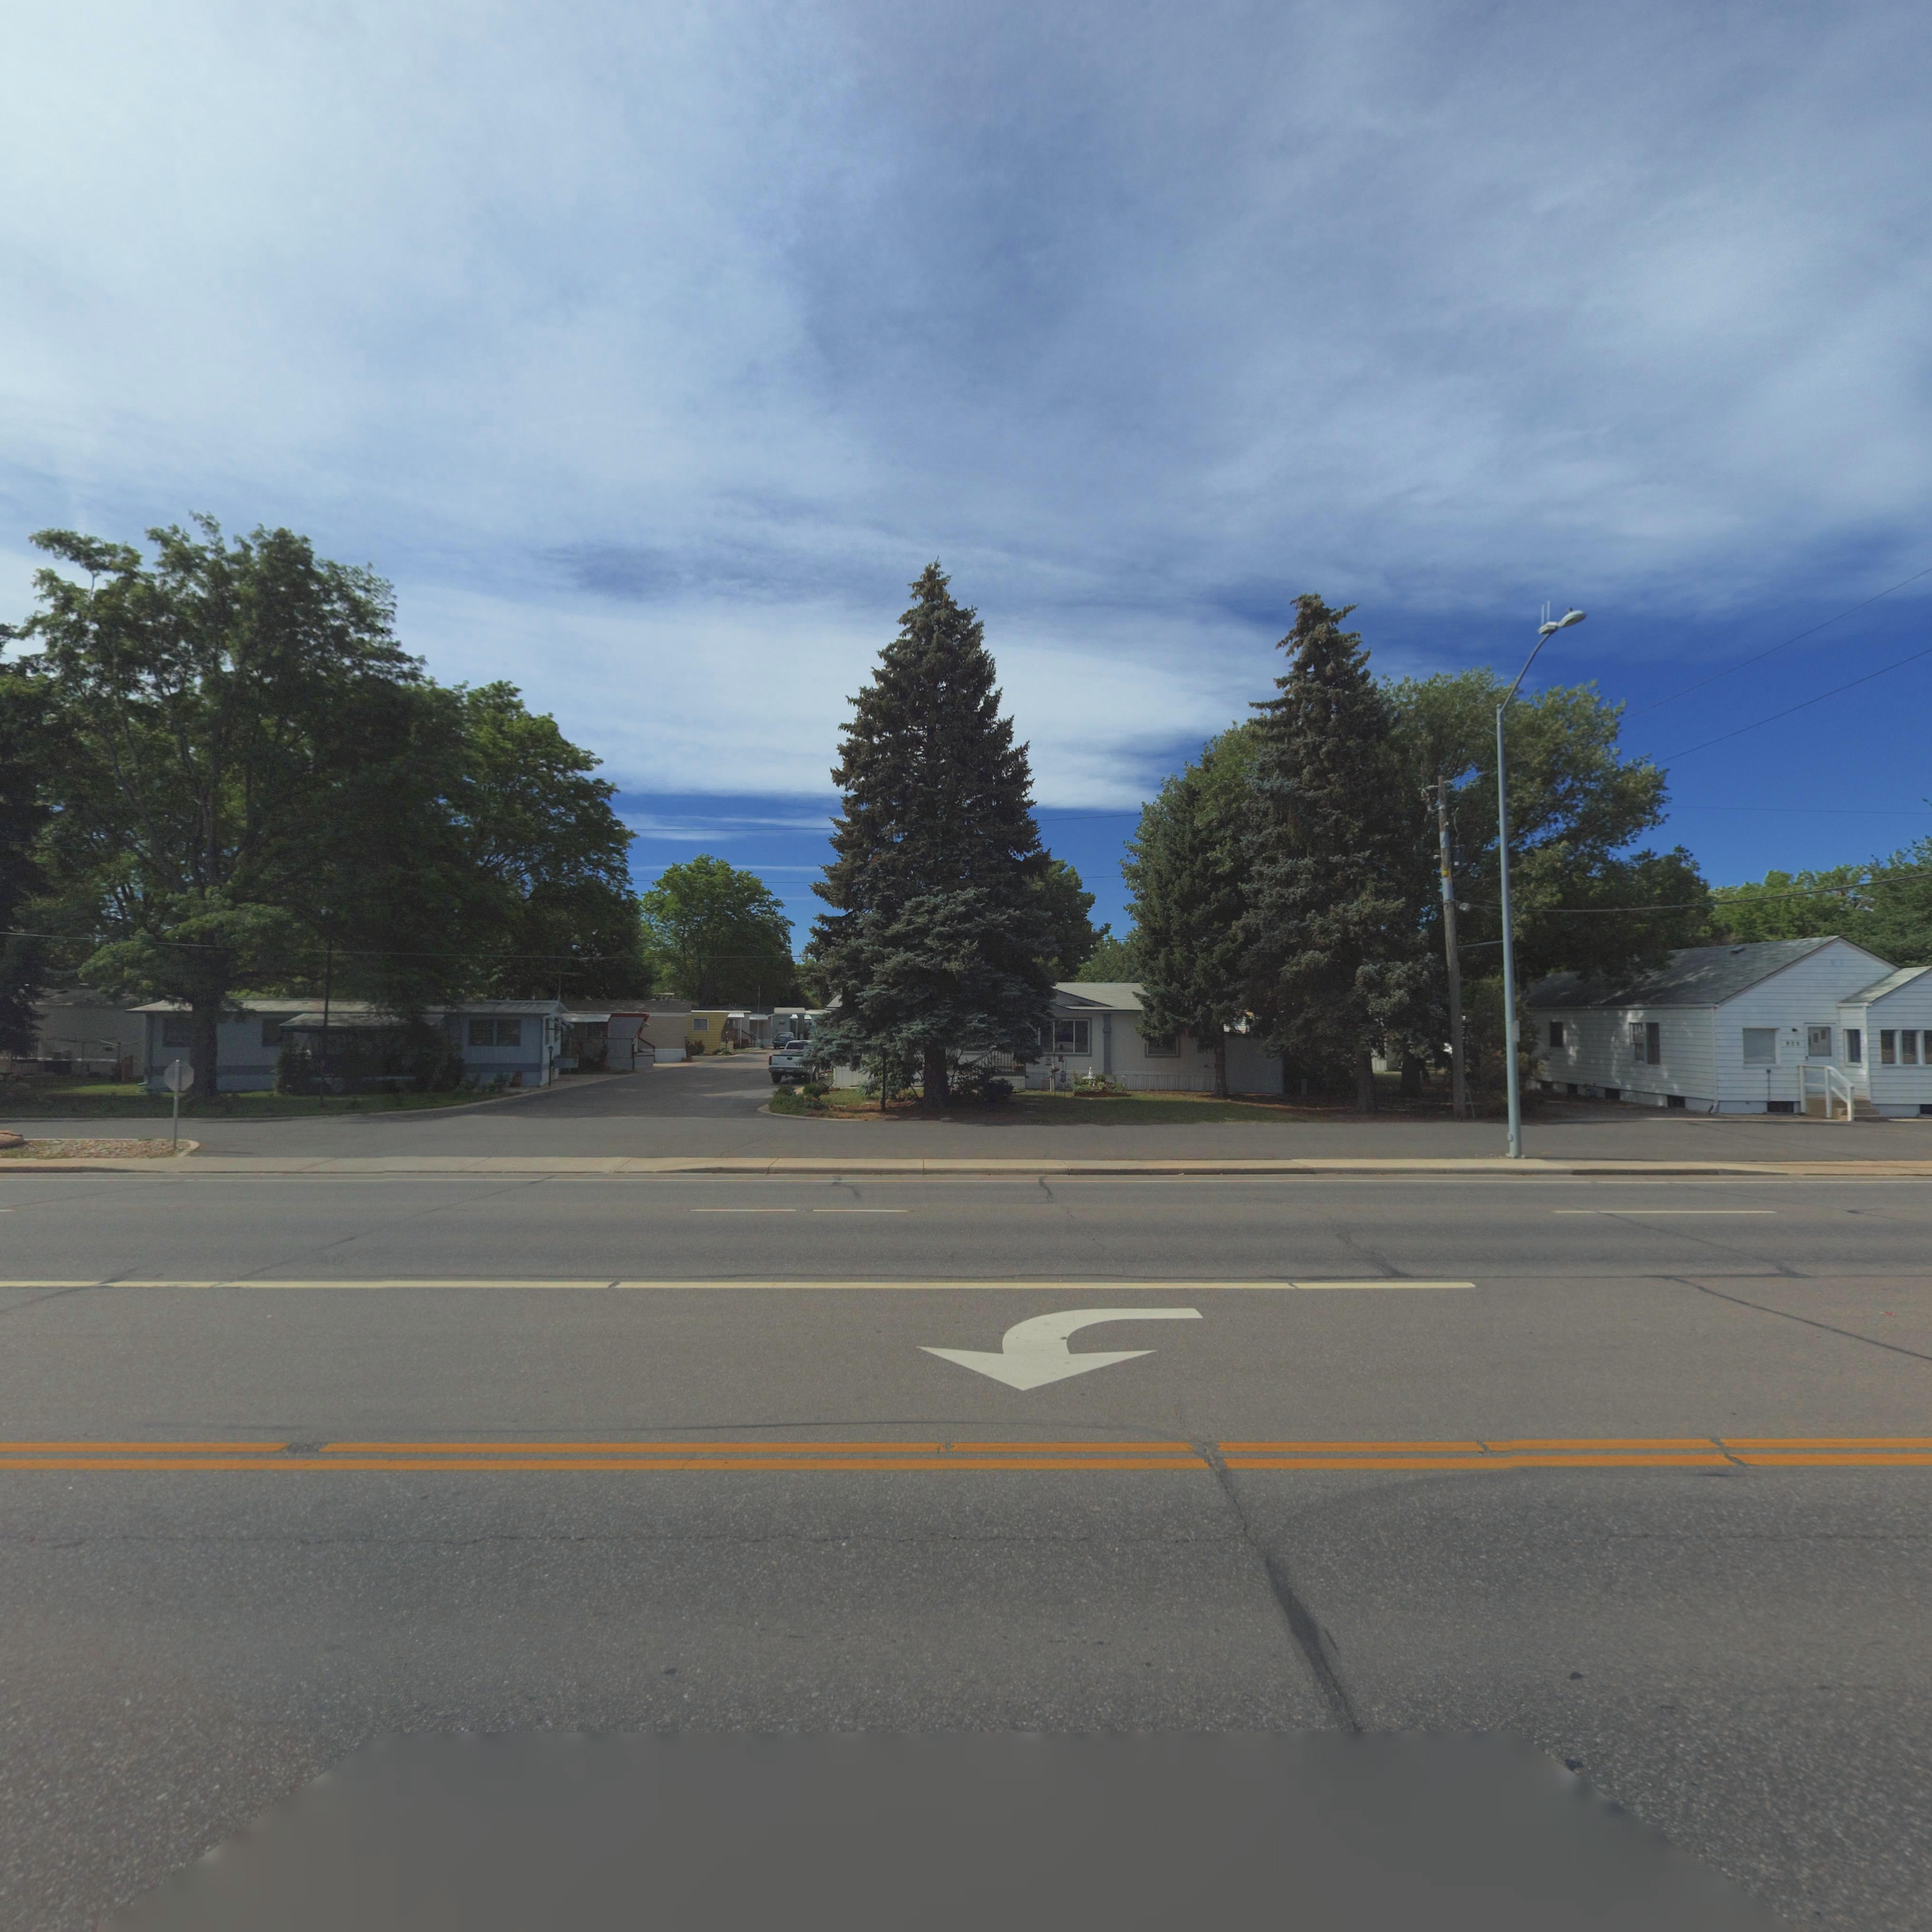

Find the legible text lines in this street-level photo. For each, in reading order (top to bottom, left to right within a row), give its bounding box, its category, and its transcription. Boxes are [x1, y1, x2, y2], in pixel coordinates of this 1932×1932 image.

[1786, 1041, 1800, 1046] StreetNumber: 9**